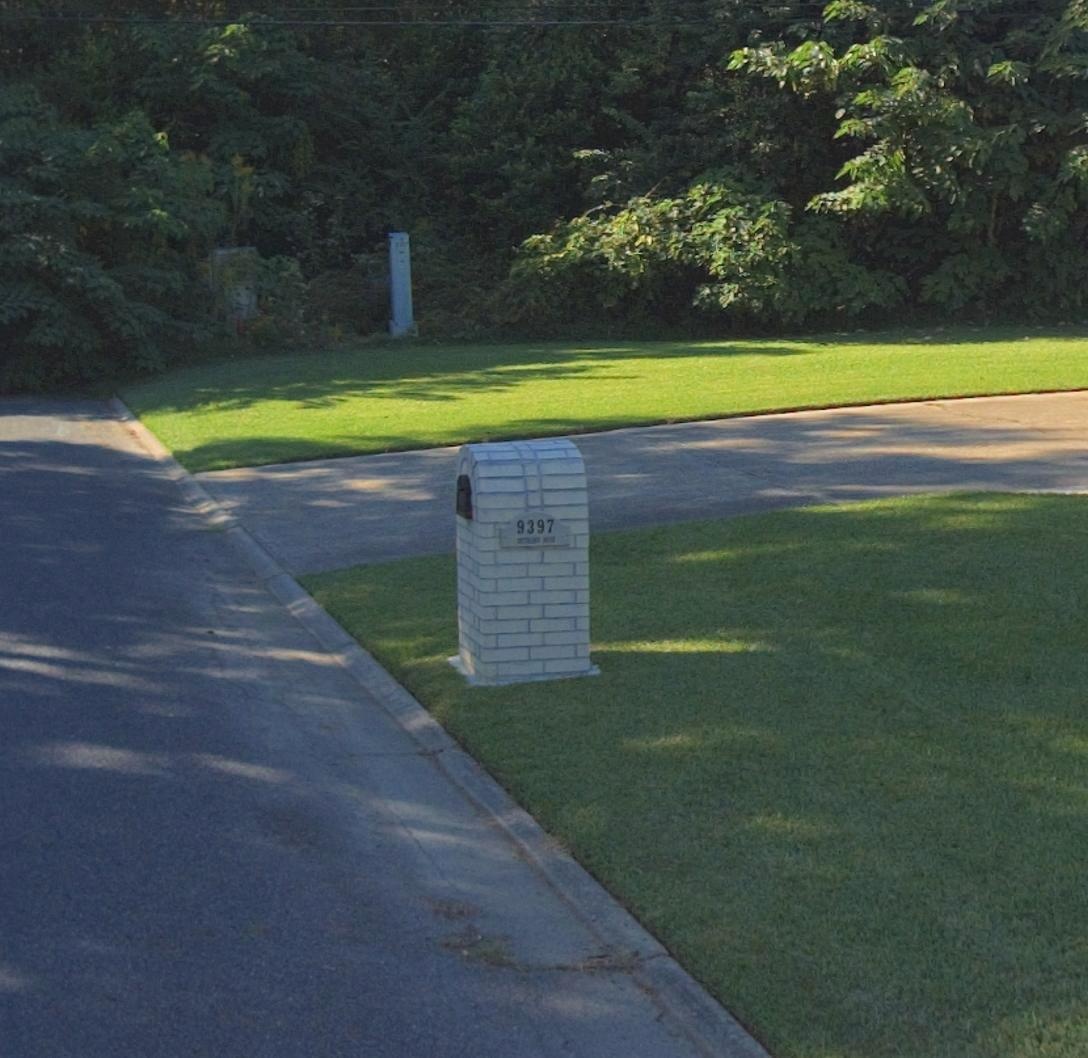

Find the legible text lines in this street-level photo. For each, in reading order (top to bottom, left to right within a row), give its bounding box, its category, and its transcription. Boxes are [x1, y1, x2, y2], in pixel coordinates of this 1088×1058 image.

[516, 519, 554, 535] StreetNumber: 9397